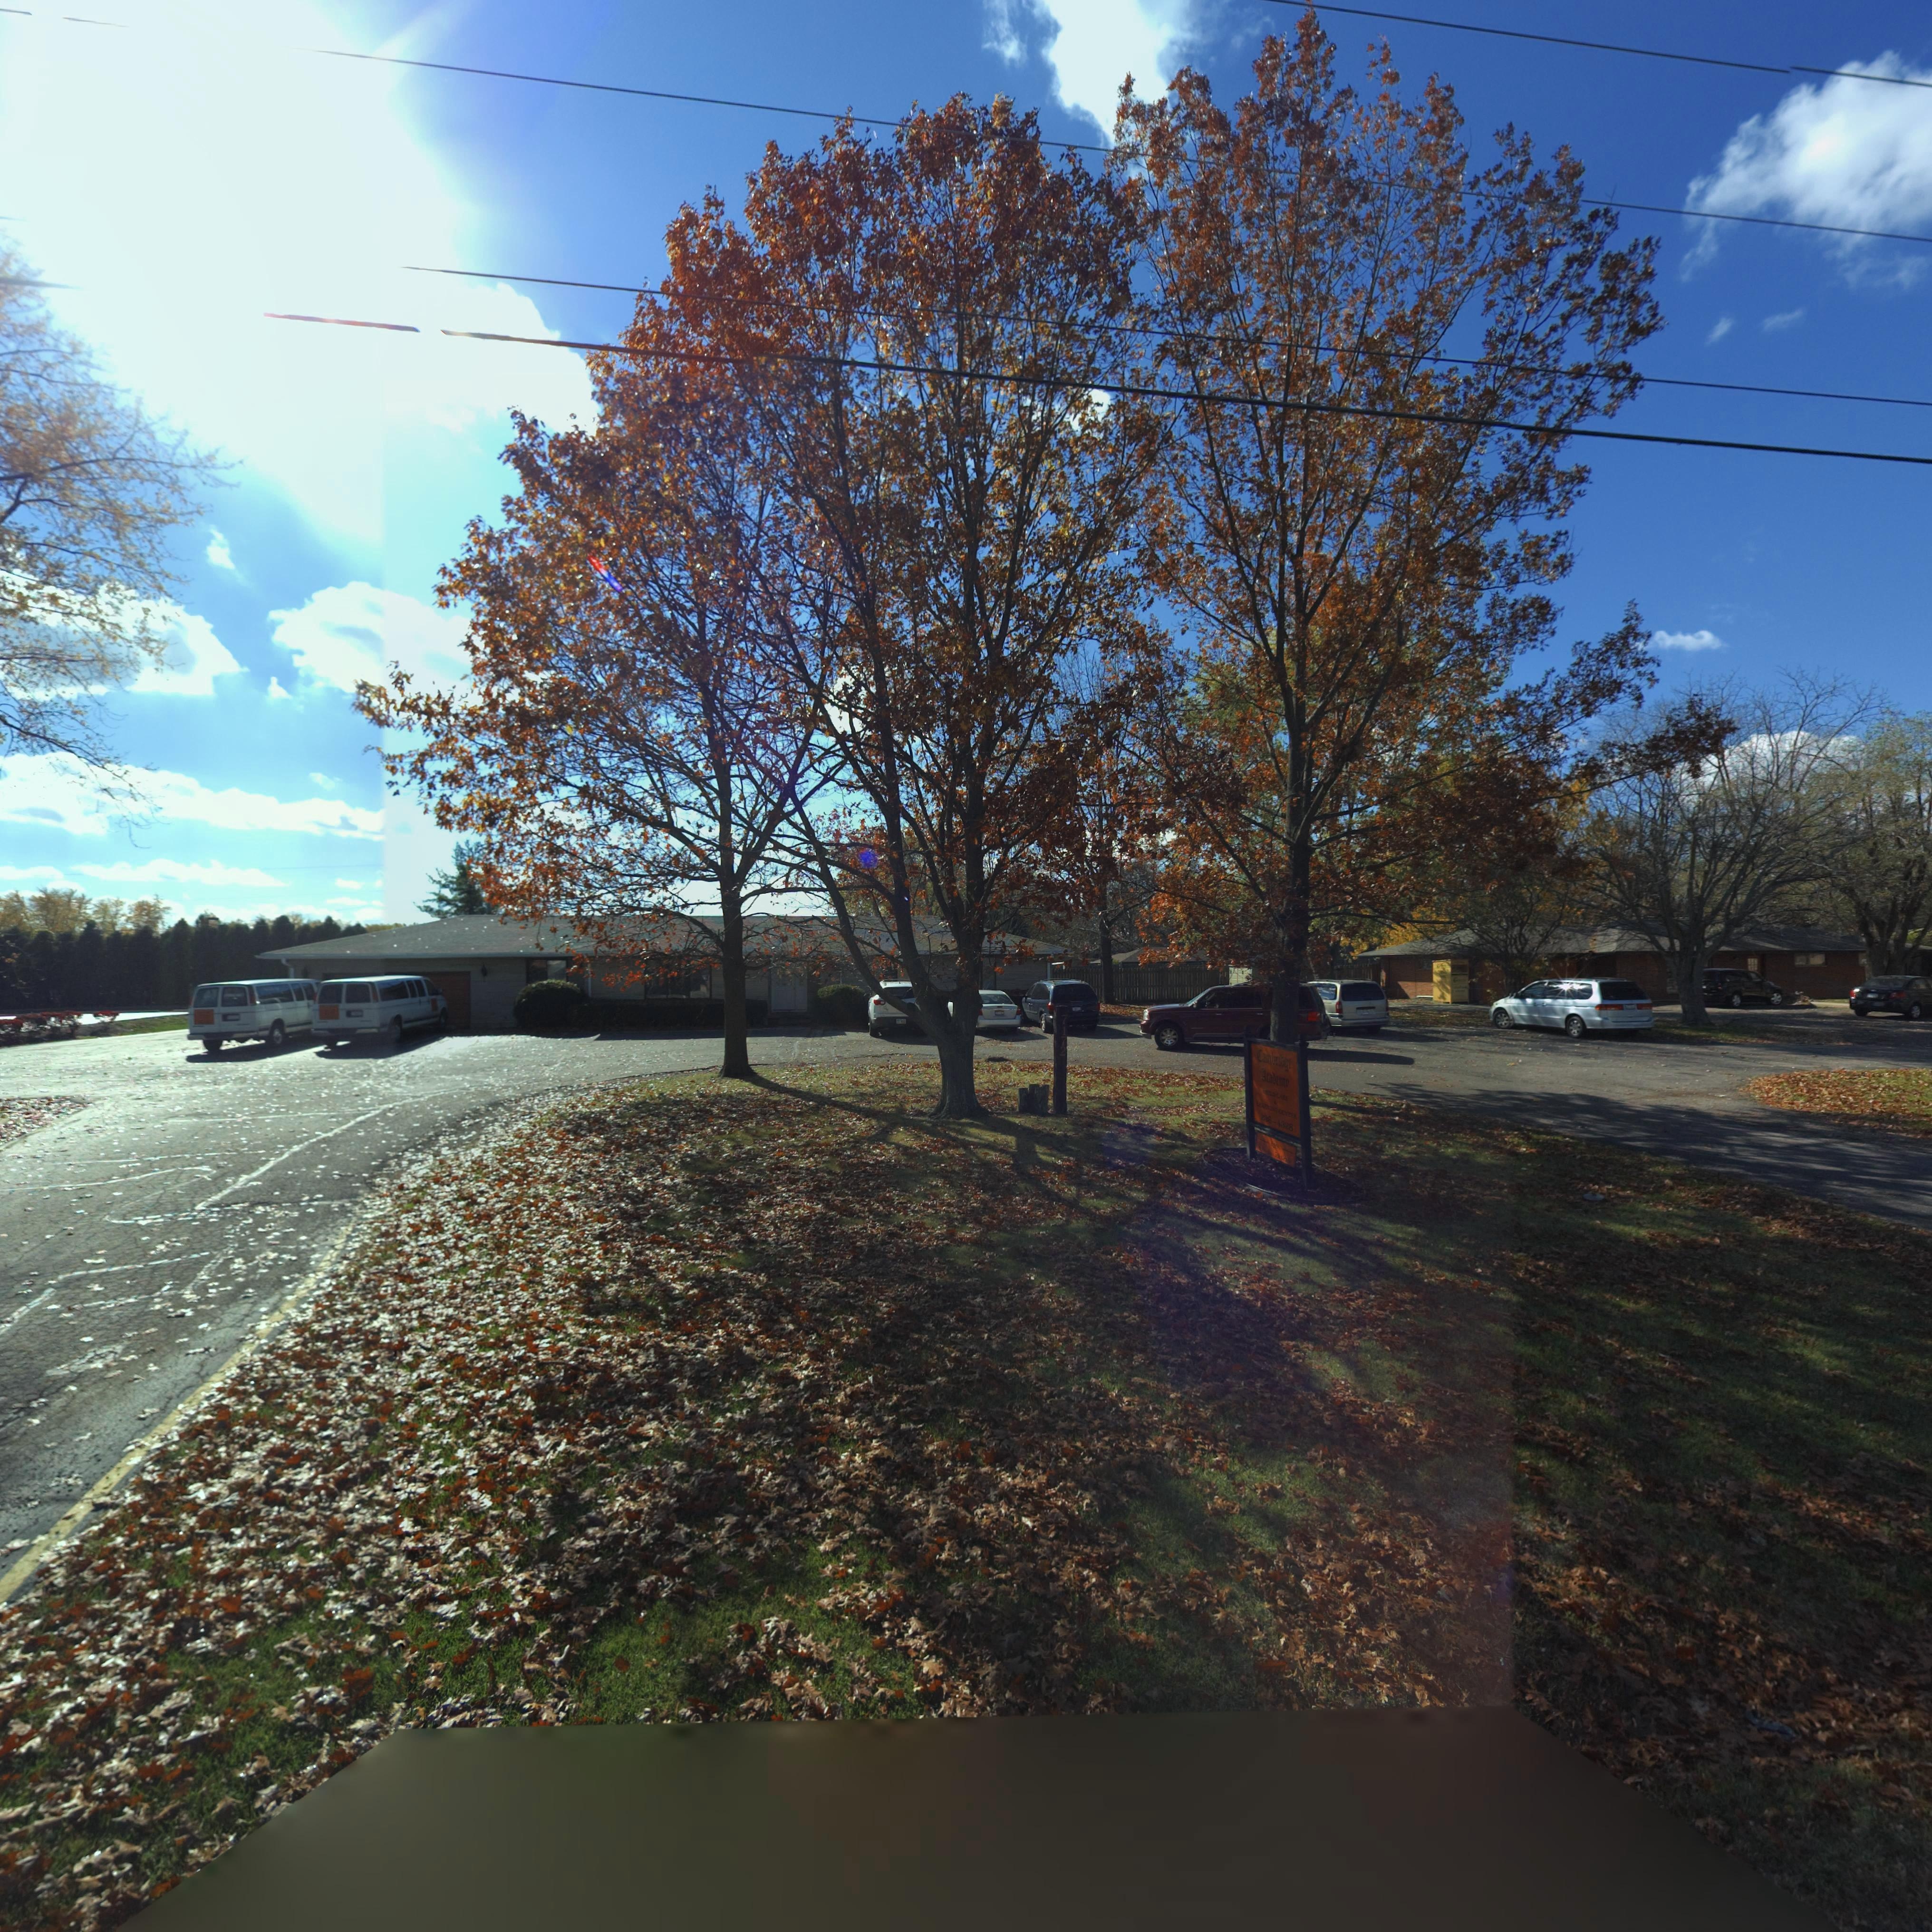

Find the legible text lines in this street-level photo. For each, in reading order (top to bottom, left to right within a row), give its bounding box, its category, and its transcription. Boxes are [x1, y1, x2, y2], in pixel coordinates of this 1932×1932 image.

[1059, 1014, 1068, 1058] StreetNumber: 7172